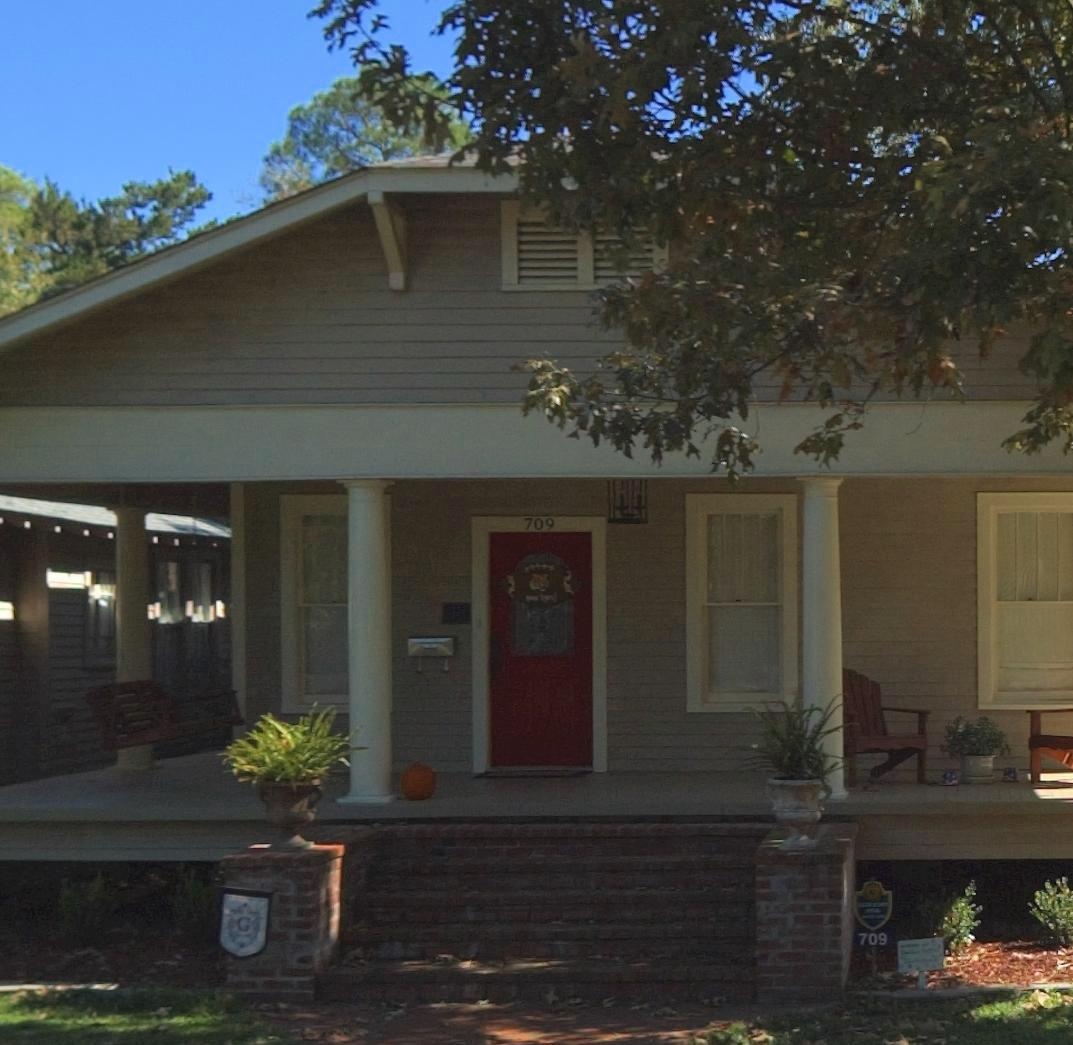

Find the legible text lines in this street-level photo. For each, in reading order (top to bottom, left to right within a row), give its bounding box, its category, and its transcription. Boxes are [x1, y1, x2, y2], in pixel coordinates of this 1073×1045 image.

[523, 515, 557, 533] StreetNumber: 709
[235, 914, 253, 934] None: G
[856, 931, 889, 947] StreetNumber: 709